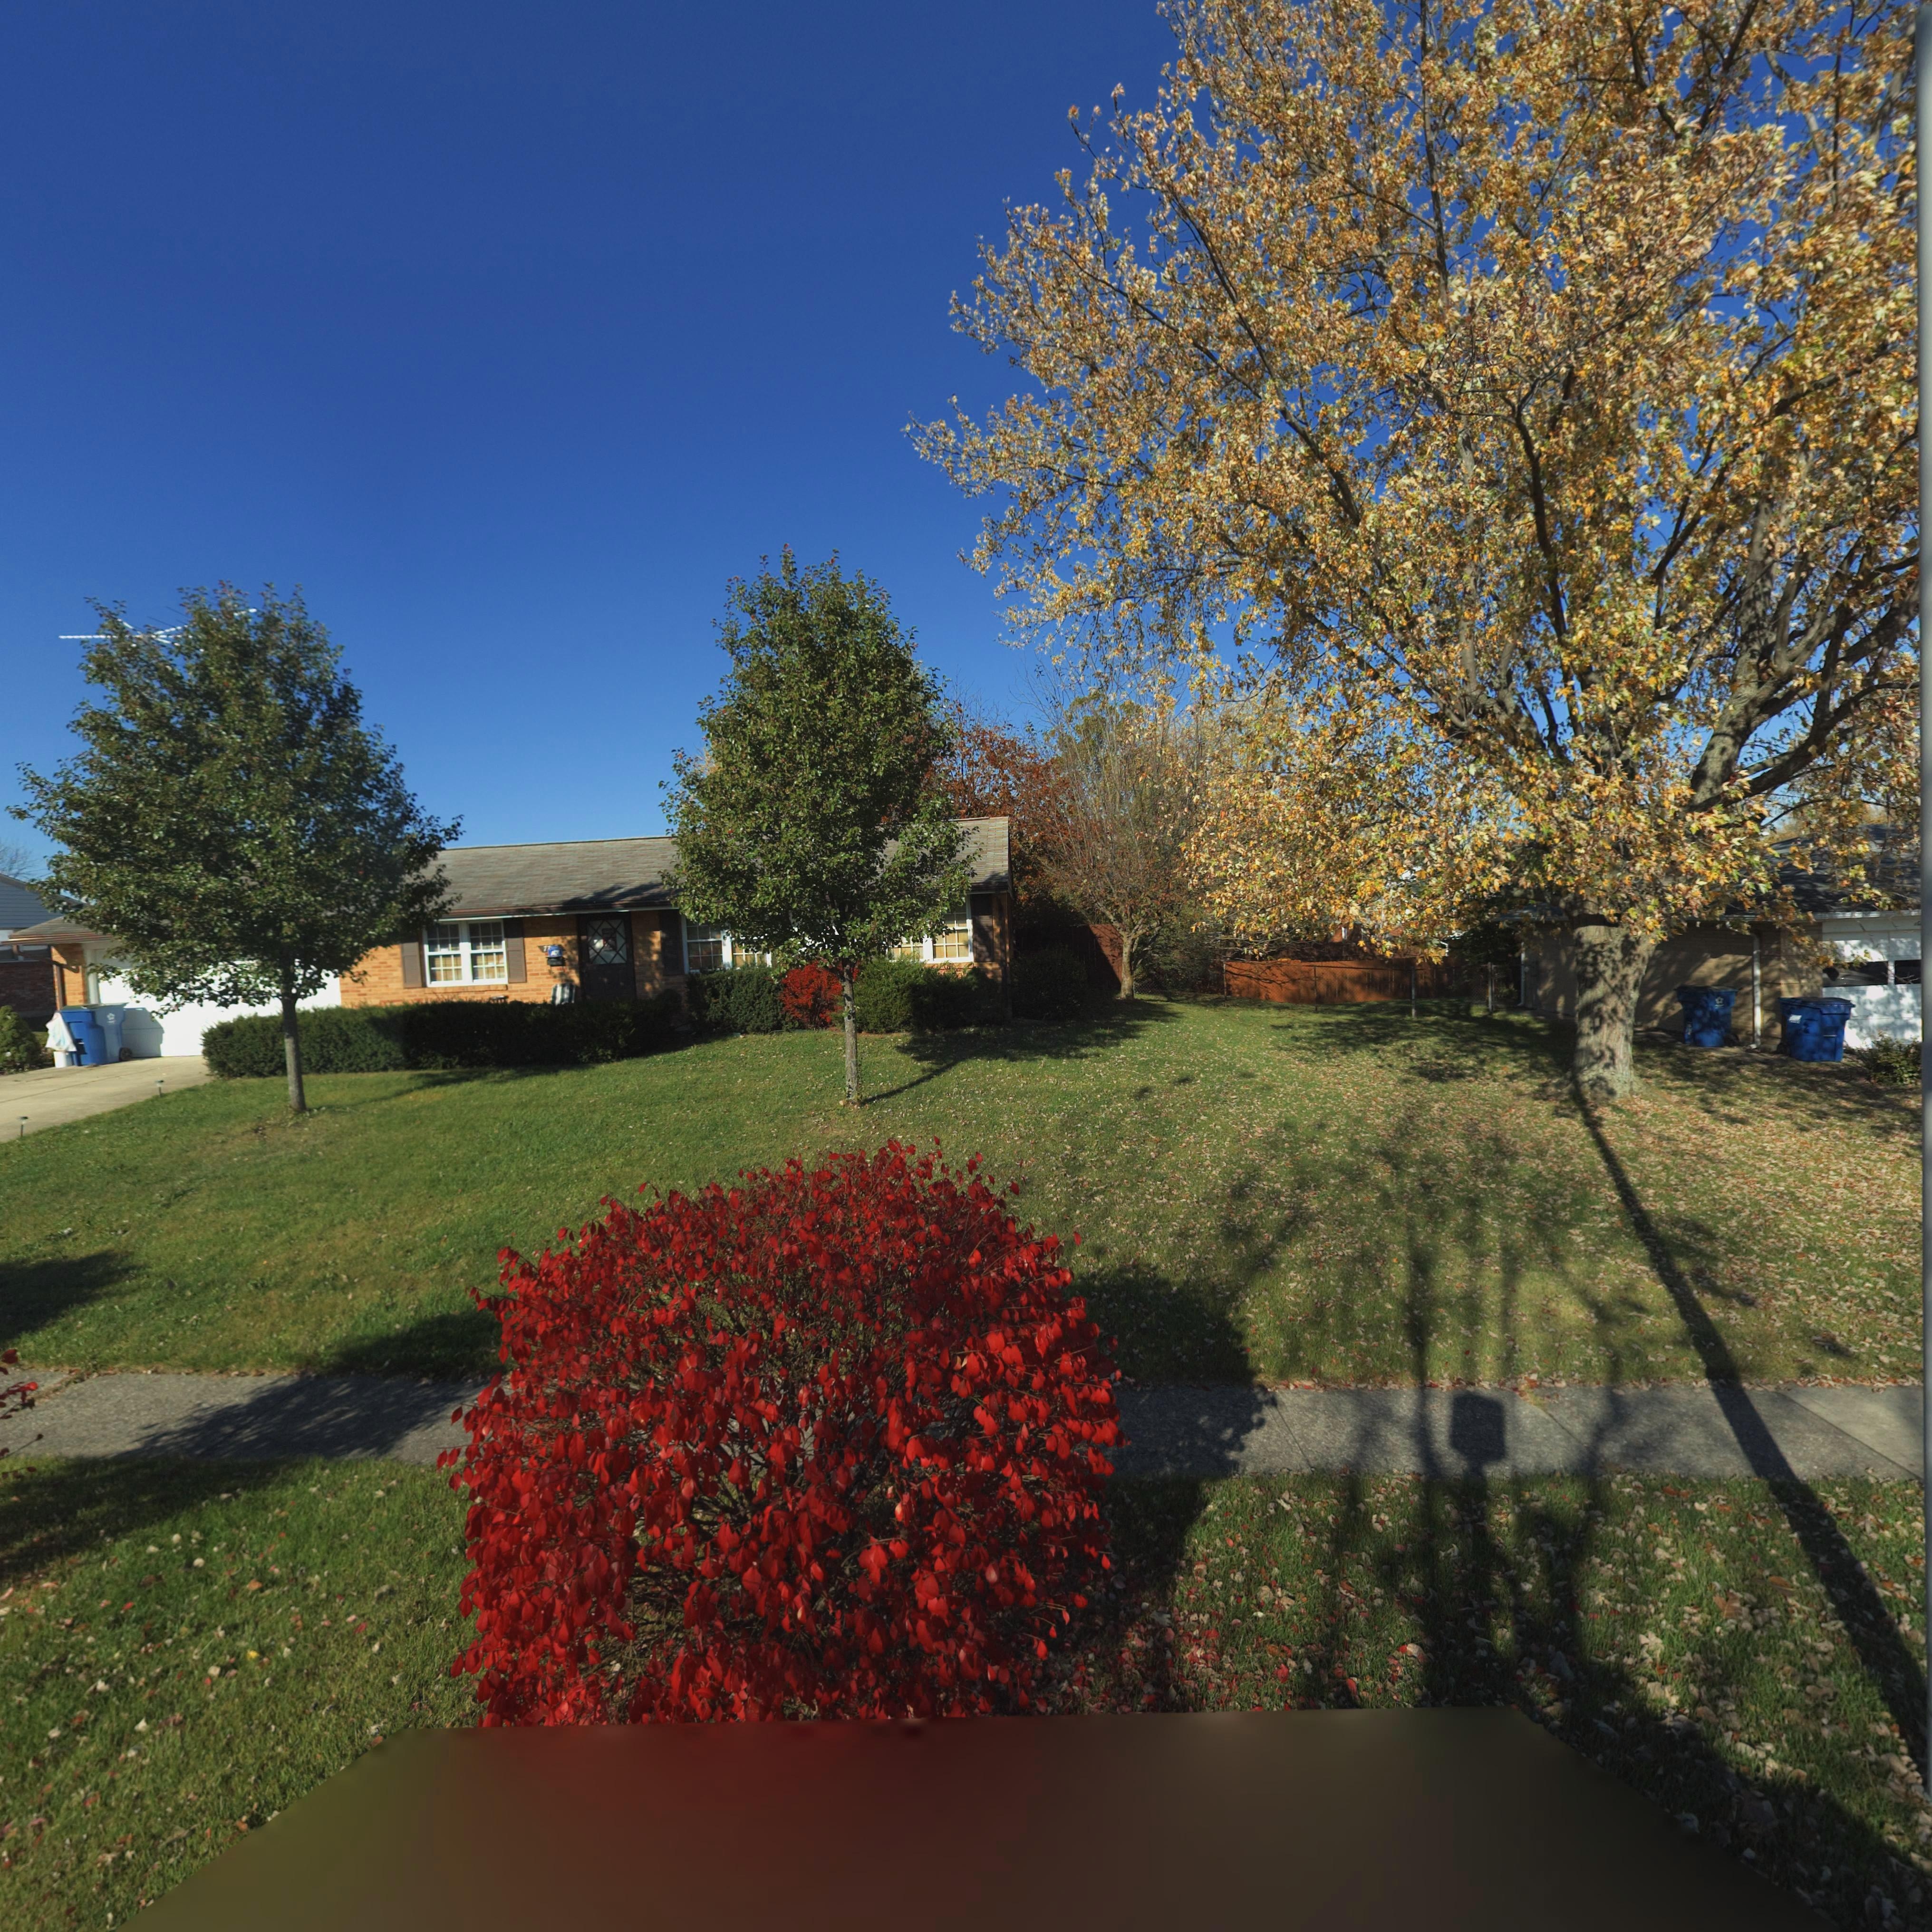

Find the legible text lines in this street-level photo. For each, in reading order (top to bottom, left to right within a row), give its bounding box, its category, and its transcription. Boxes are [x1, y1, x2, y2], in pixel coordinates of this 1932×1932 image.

[542, 945, 548, 953] StreetNumber: 7